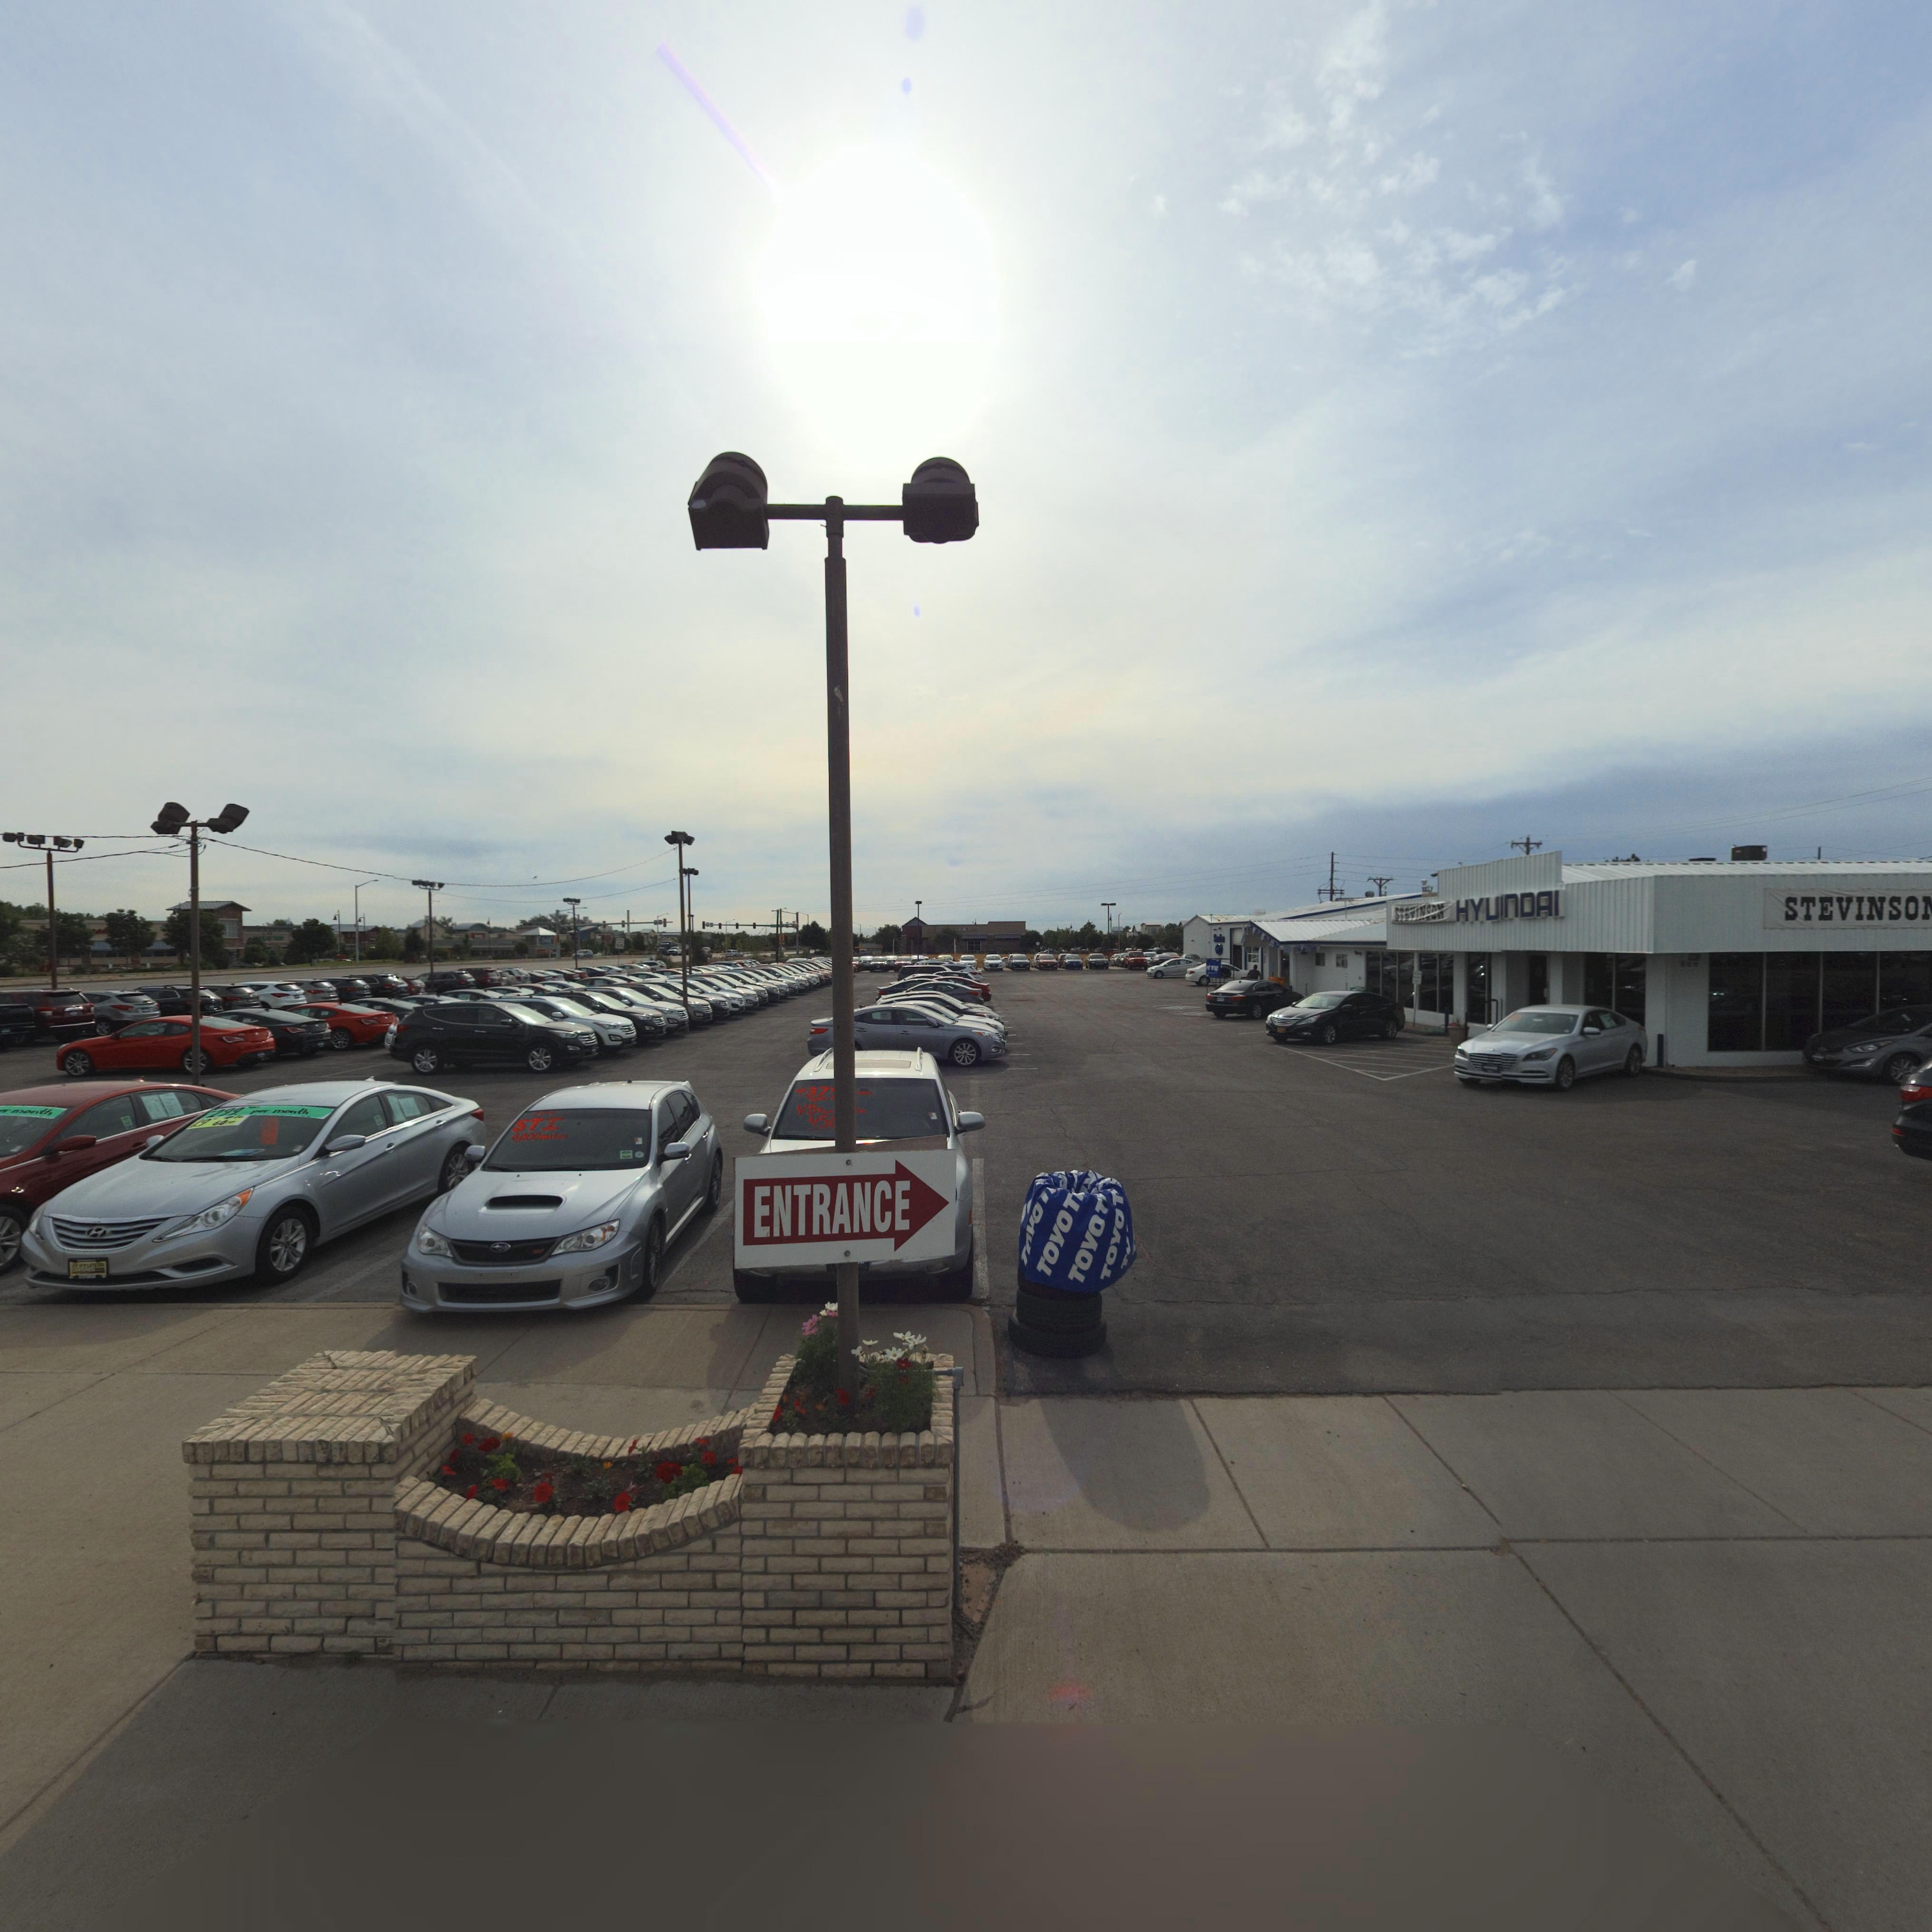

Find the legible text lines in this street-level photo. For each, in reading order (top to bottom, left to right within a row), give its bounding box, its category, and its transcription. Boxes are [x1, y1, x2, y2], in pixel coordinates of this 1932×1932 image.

[1394, 902, 1444, 922] BusinessName: STEVINSON
[1455, 889, 1560, 922] BusinessName: HYUNDAI
[1784, 895, 1919, 921] BusinessName: STEVINSO
[272, 936, 283, 940] BusinessName: TREE
[541, 937, 551, 943] BusinessName: C***E
[1680, 958, 1699, 967] StreetNumber: 600